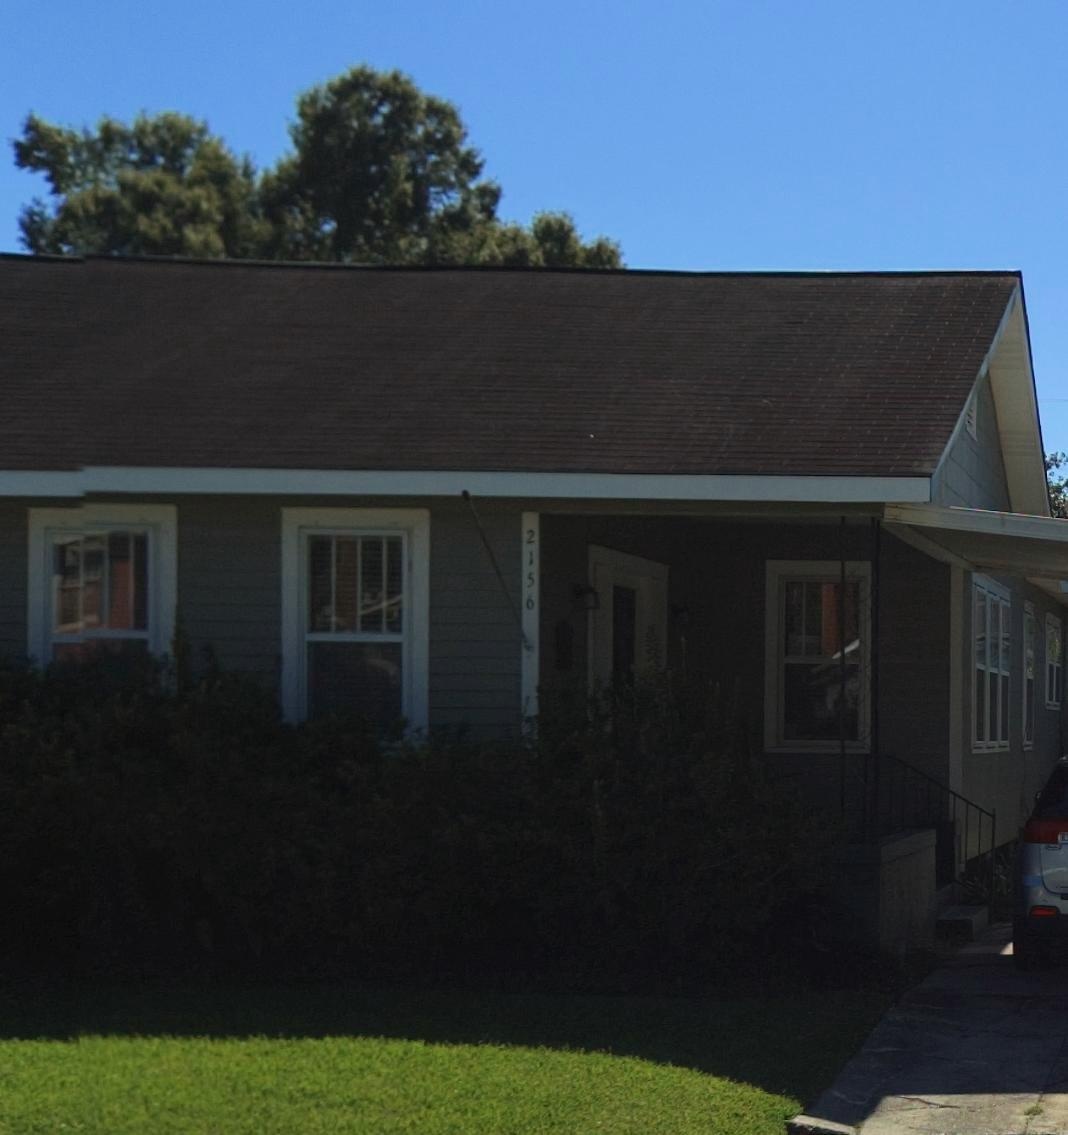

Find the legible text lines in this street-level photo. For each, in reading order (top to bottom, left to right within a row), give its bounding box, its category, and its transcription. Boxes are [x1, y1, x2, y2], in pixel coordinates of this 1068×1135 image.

[523, 527, 537, 612] StreetNumber: 2156